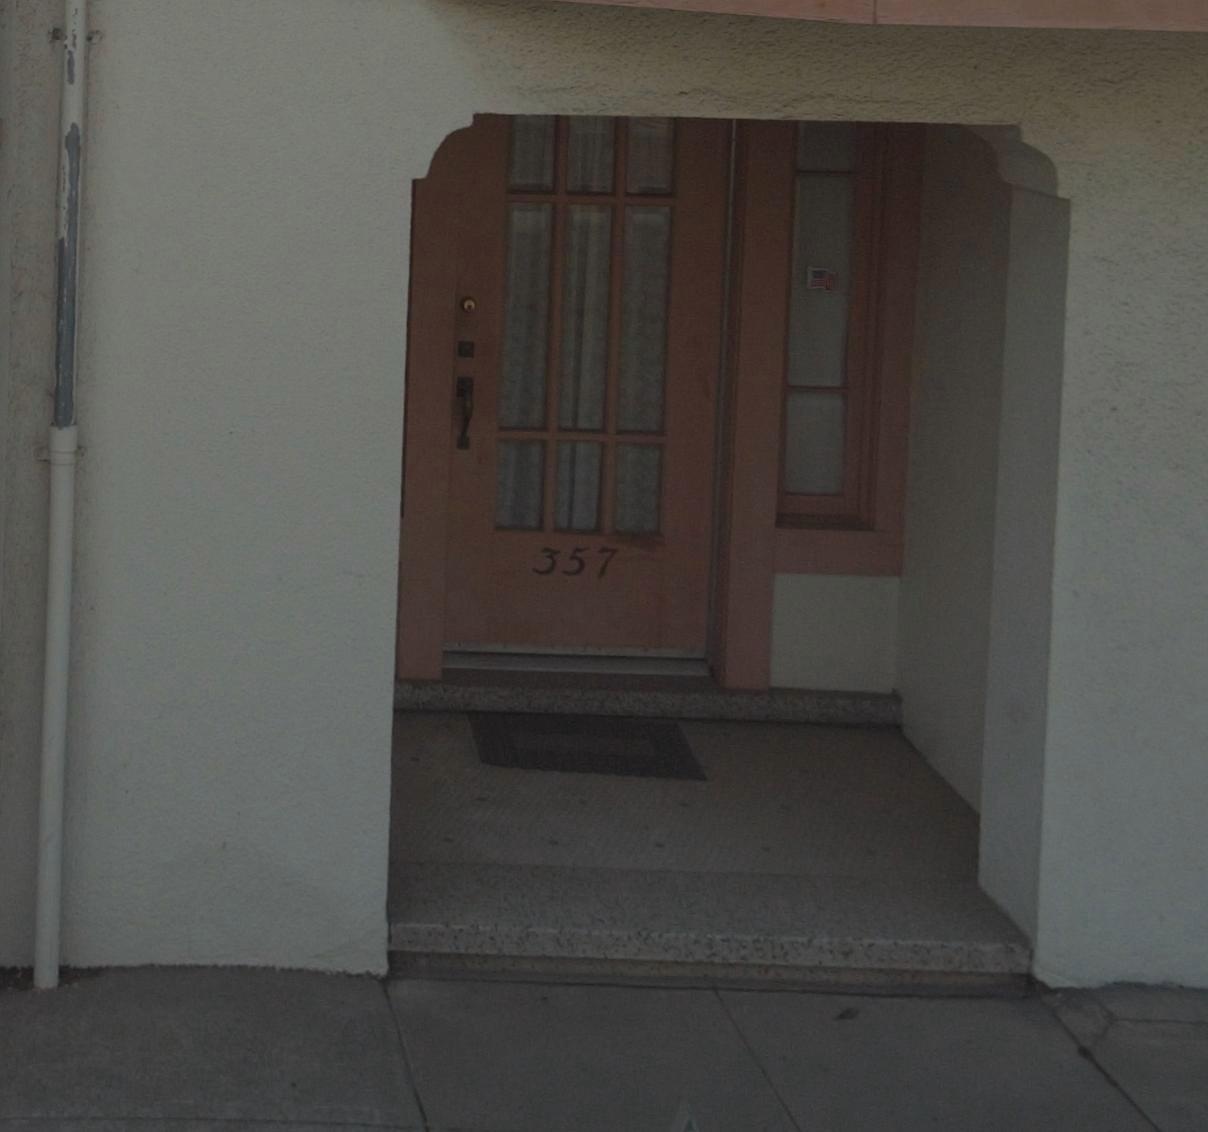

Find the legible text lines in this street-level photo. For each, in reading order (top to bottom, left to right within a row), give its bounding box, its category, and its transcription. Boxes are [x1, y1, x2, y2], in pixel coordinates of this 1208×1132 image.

[531, 546, 621, 582] StreetNumber: 357